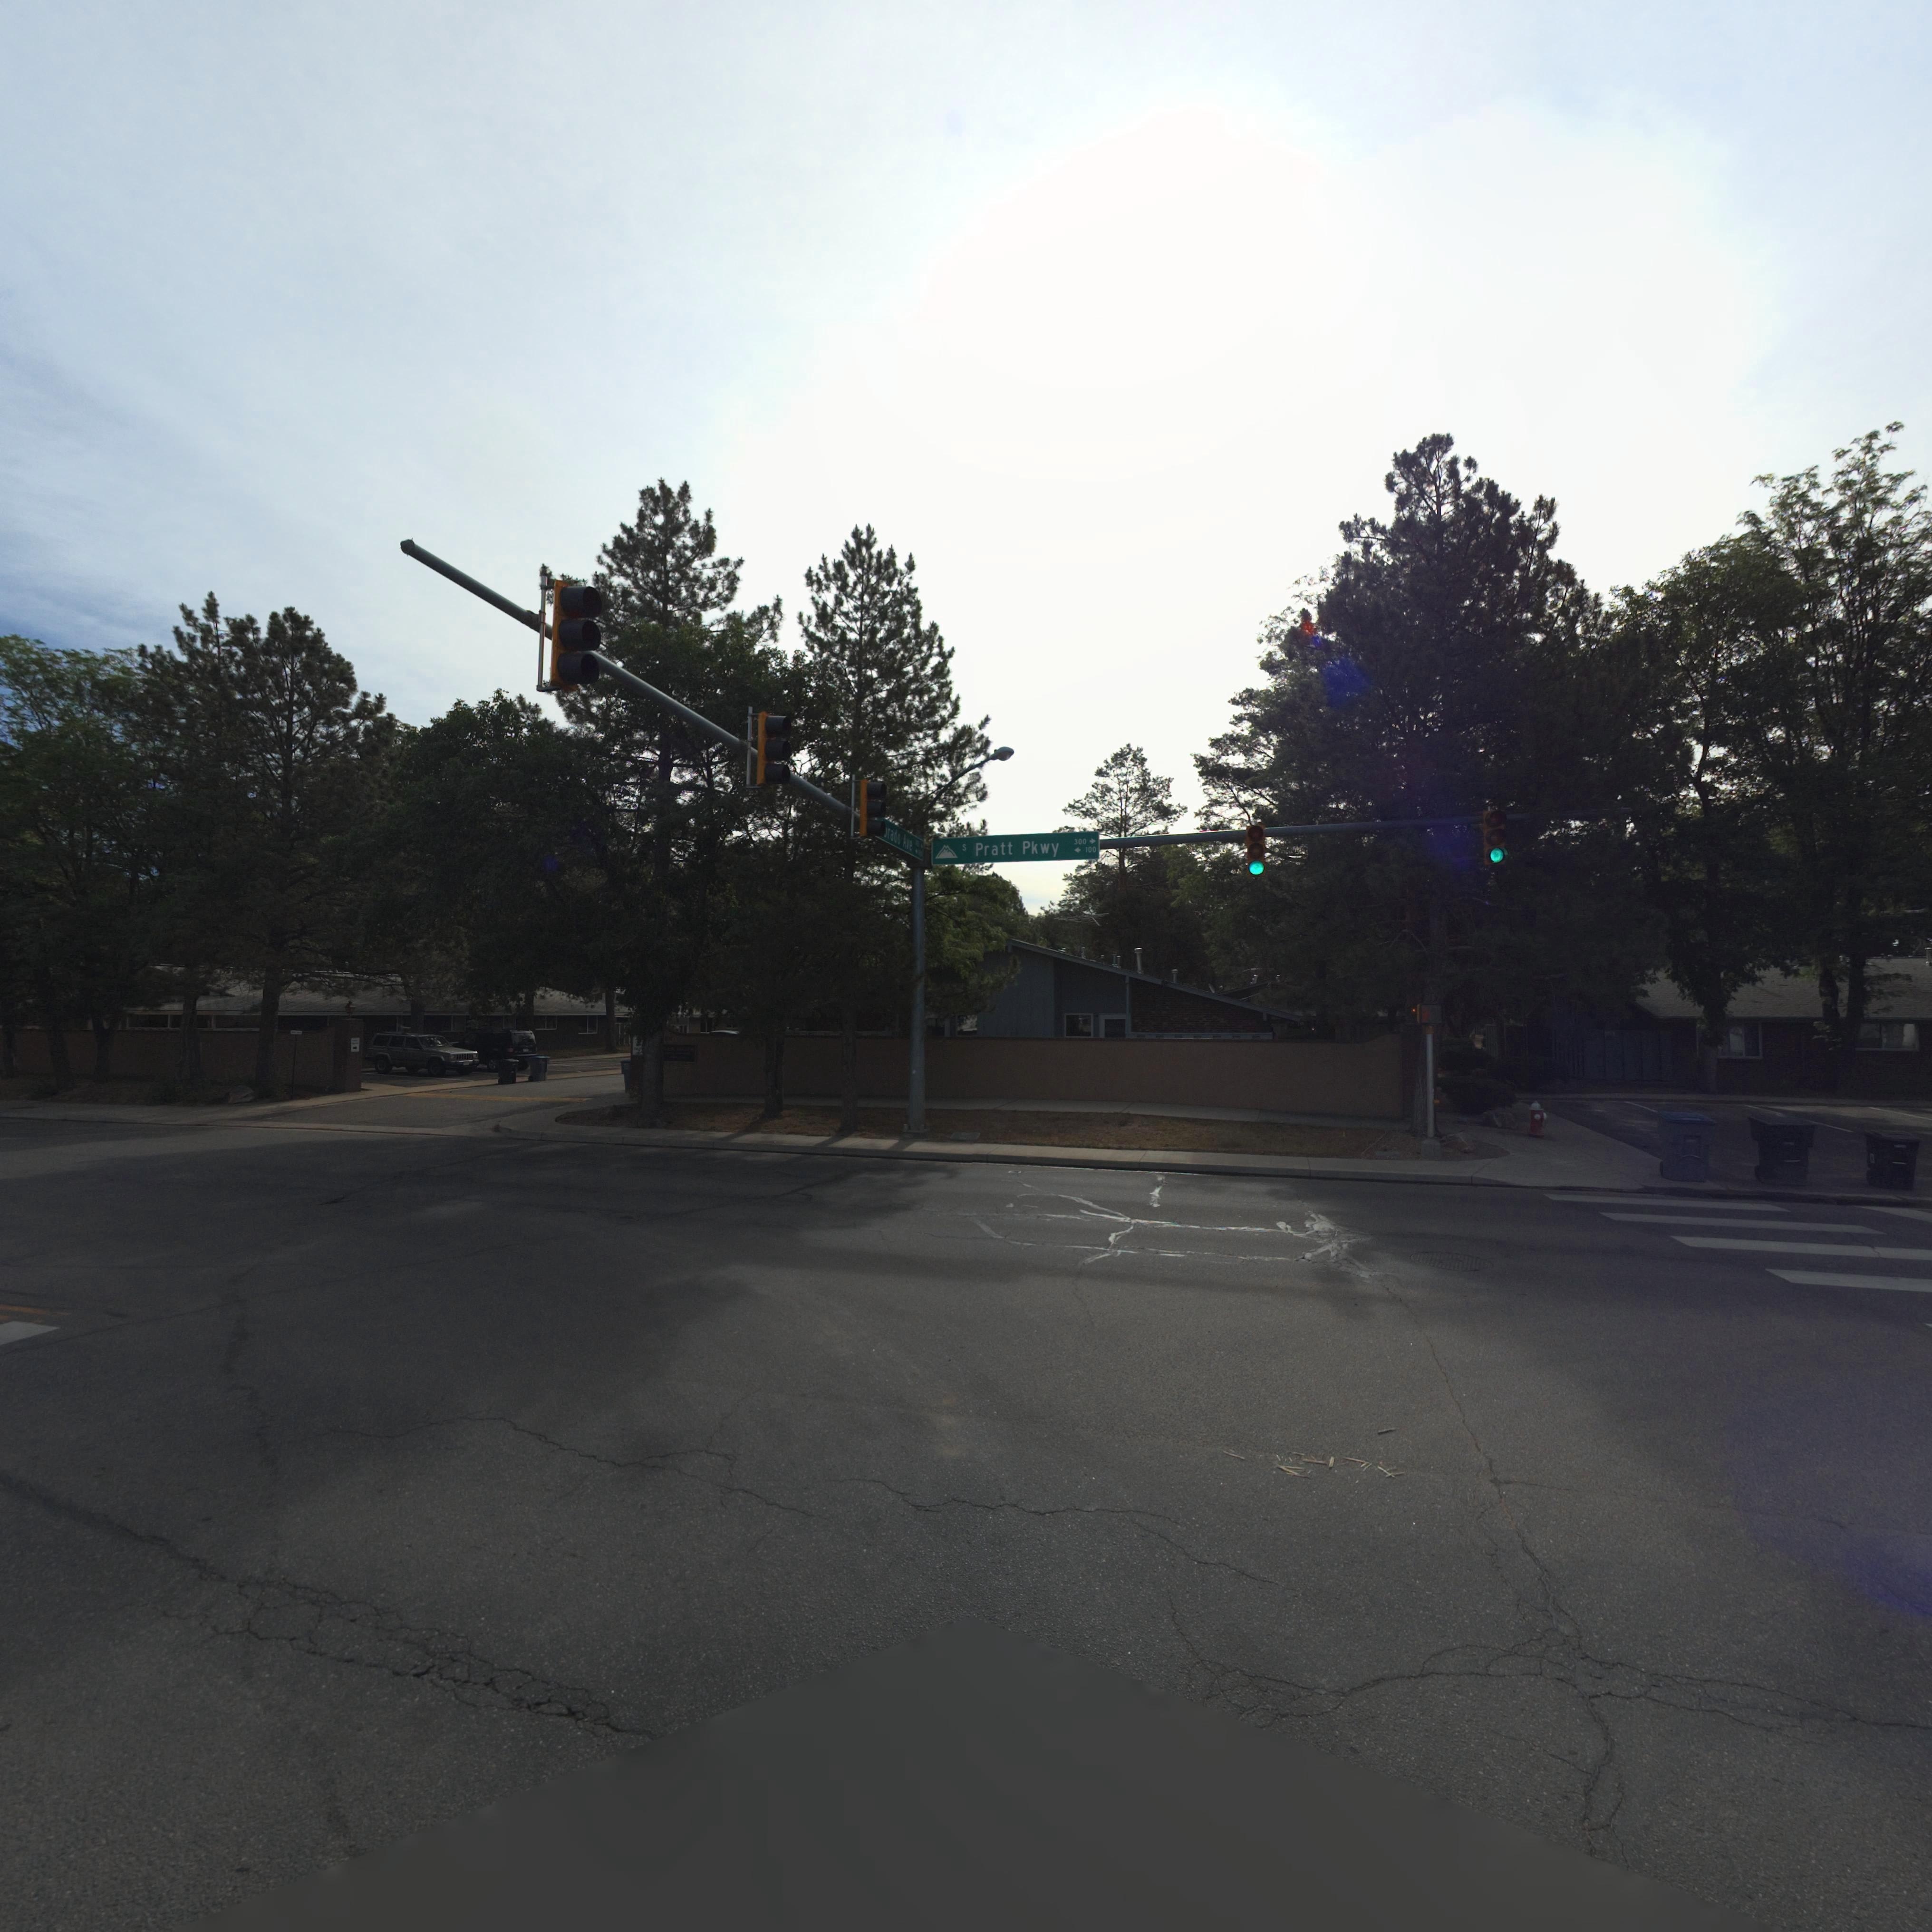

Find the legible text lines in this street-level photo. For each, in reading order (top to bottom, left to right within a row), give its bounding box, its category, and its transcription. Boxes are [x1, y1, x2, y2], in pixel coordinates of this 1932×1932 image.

[884, 827, 912, 851] StreetName: *rado Ave
[962, 840, 1060, 857] StreetName: s Pratt Pkwy
[1074, 838, 1096, 845] StreetNumberRange: 300->
[1073, 846, 1097, 853] StreetNumberRange: <-100